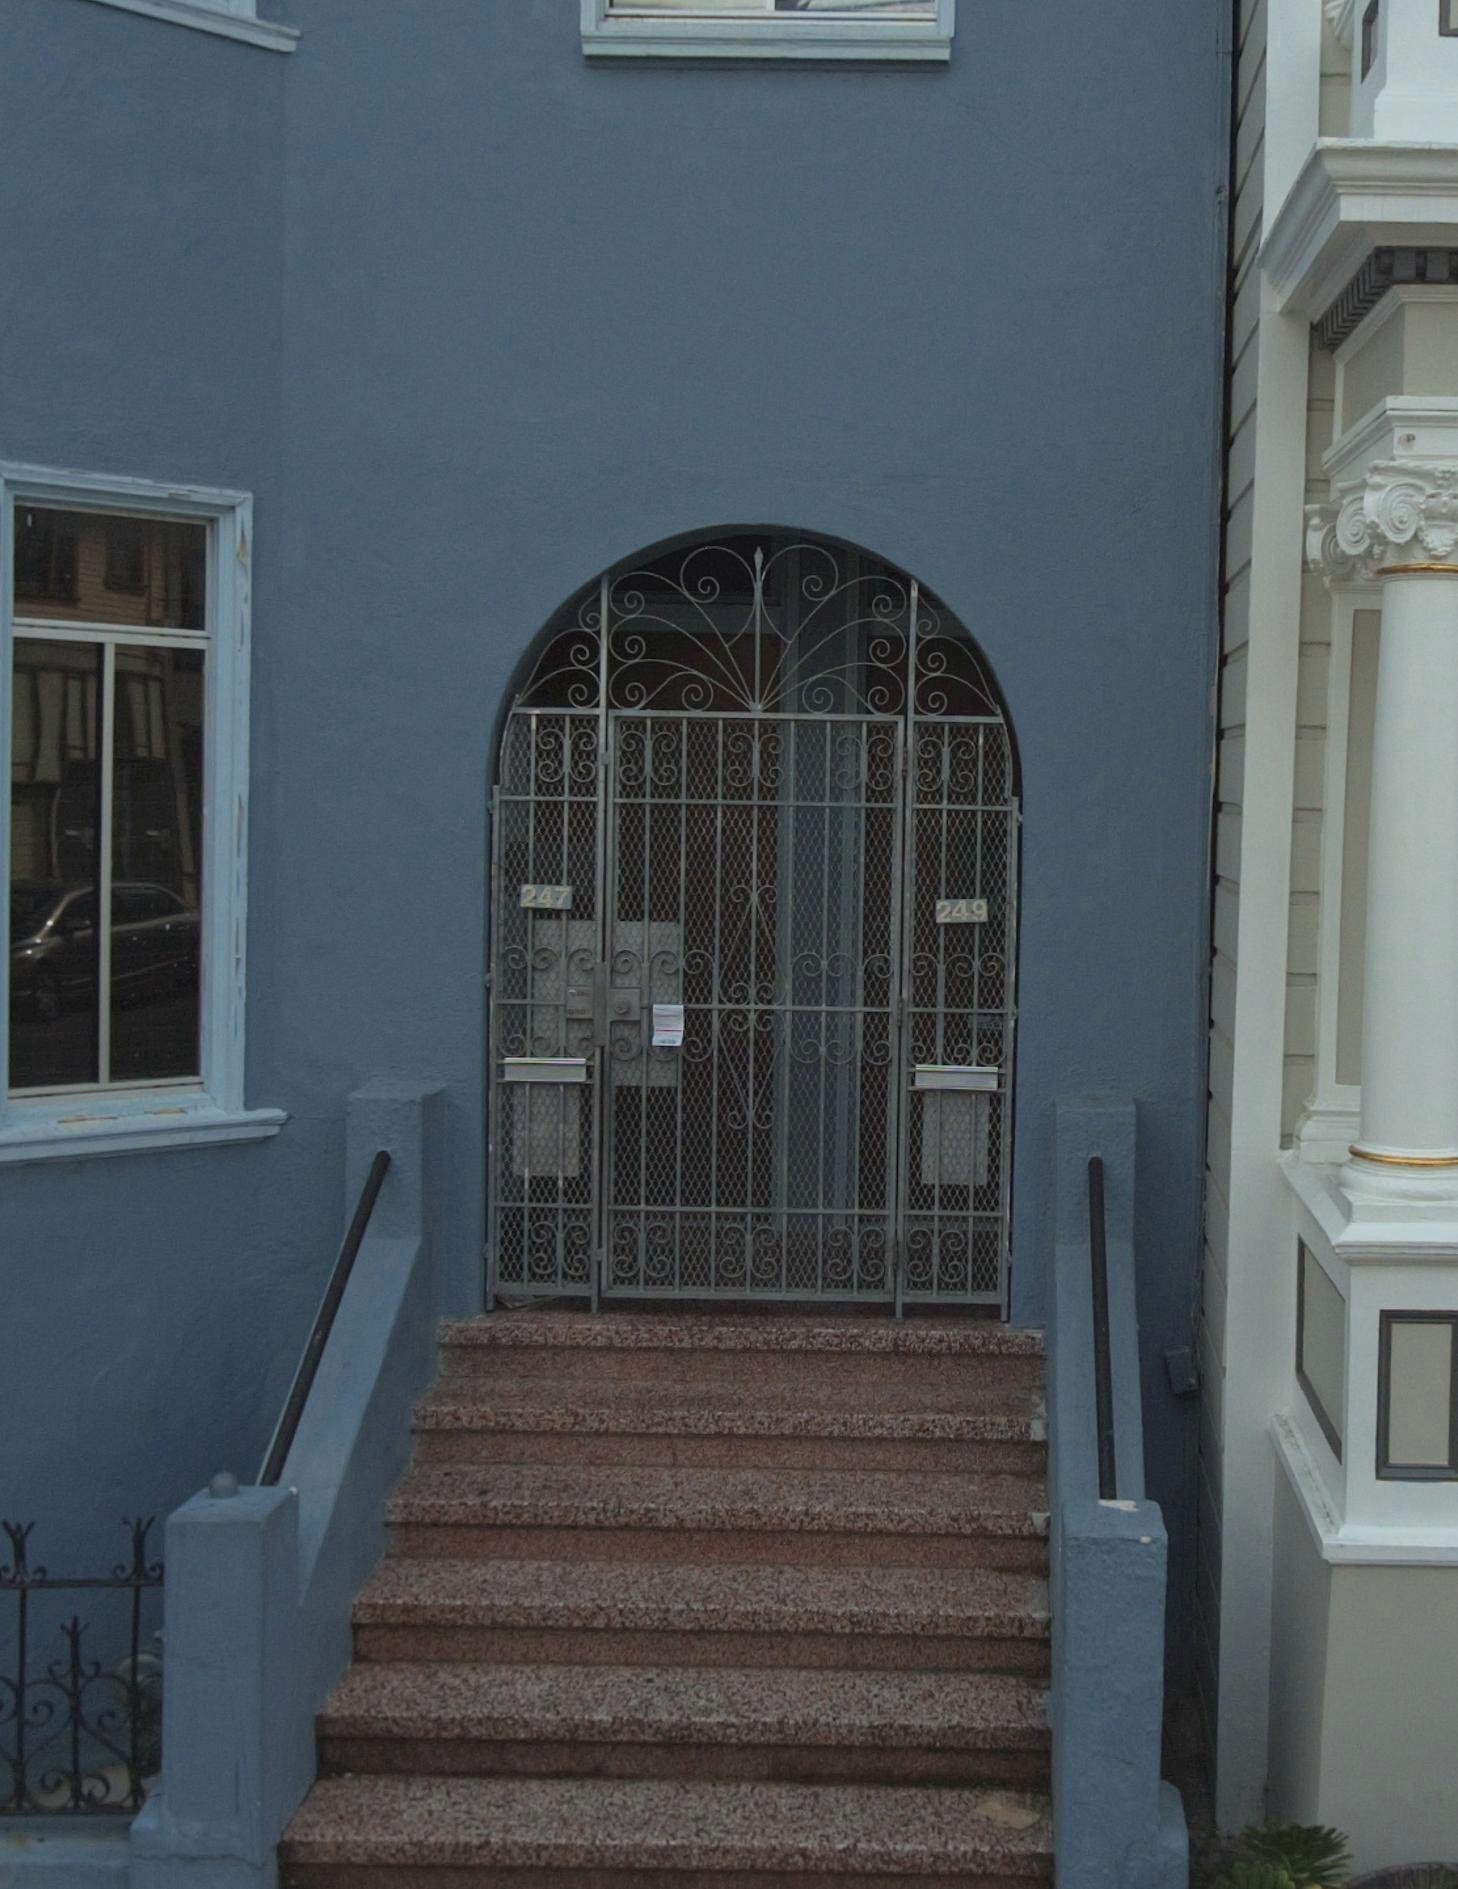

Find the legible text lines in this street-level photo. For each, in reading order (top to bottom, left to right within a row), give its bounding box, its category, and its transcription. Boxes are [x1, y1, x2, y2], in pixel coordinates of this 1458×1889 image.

[519, 884, 572, 909] StreetNumber: 247
[936, 900, 988, 922] StreetNumber: 249